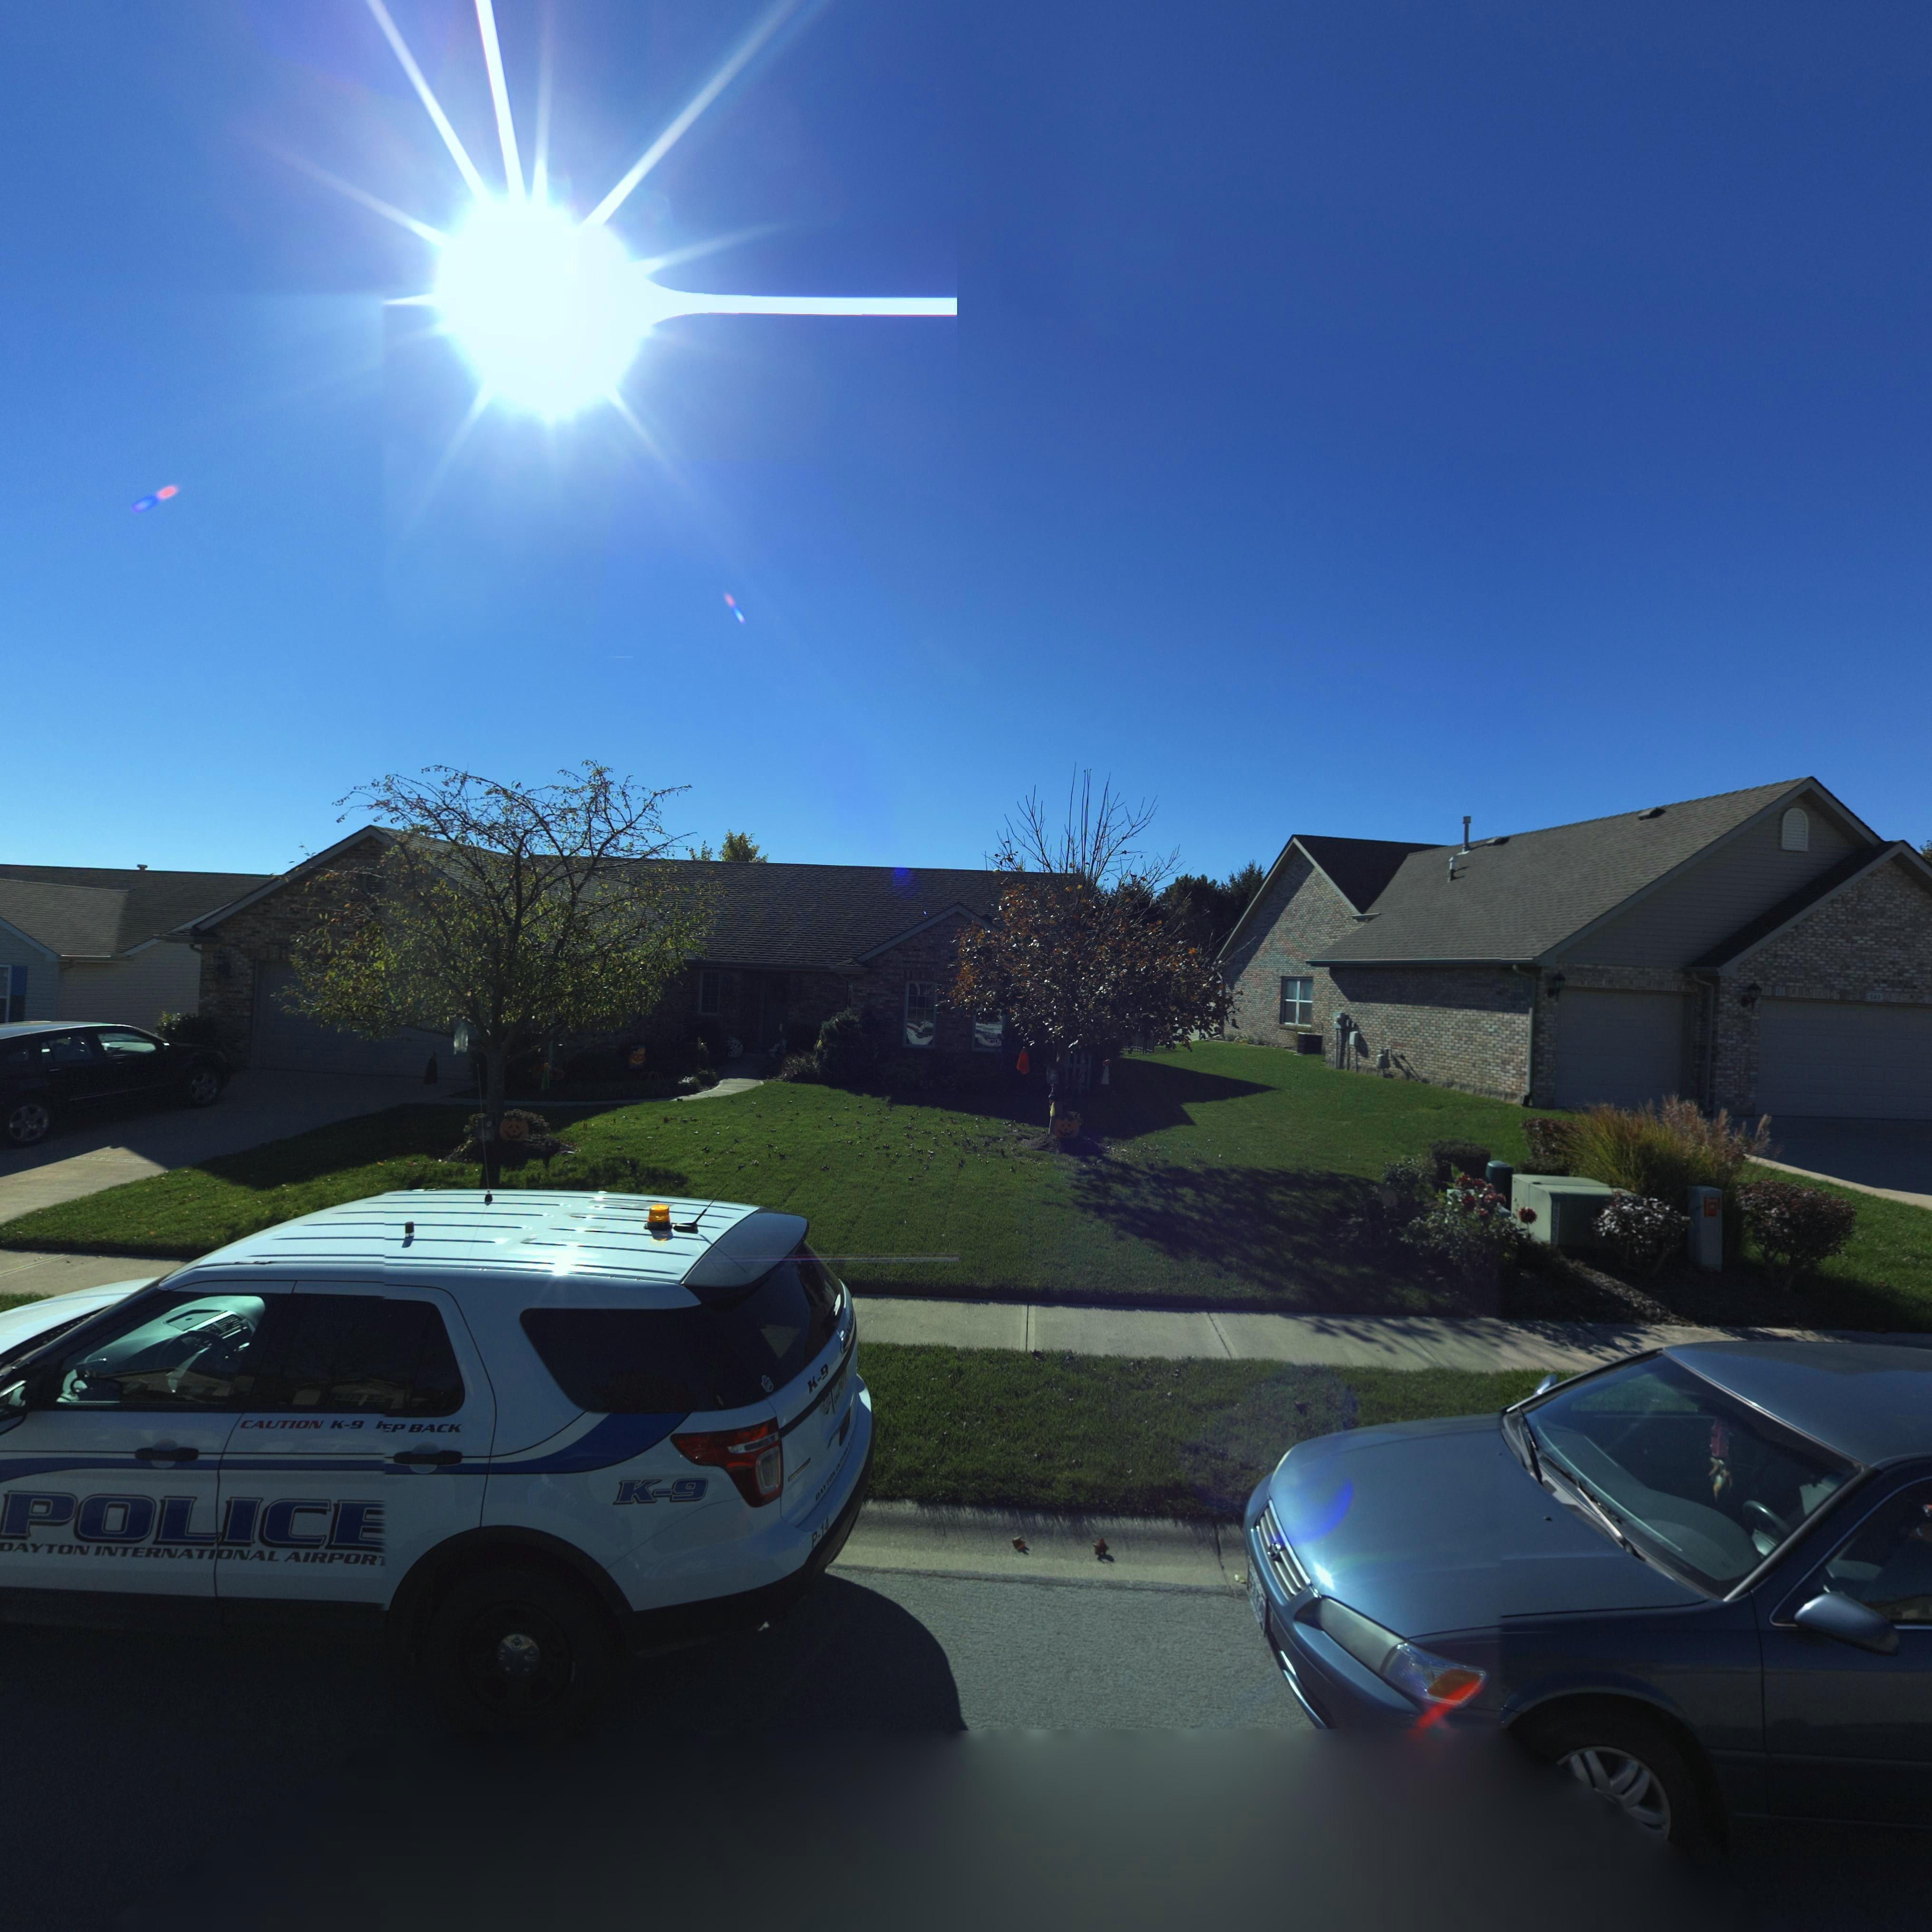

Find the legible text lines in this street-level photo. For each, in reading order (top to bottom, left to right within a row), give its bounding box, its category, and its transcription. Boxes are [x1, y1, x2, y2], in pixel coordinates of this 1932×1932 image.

[1869, 994, 1881, 1000] StreetNumber: 141
[807, 1360, 830, 1395] None: K-9
[233, 1414, 468, 1438] None: CAUTION K-9 EP BACK
[611, 1471, 713, 1508] None: K-9
[2, 1485, 393, 1556] None: POLICE
[811, 1516, 829, 1550] None: P-14
[0, 1537, 392, 1568] None: DAYTON INTERNATIONAL AIRPORT